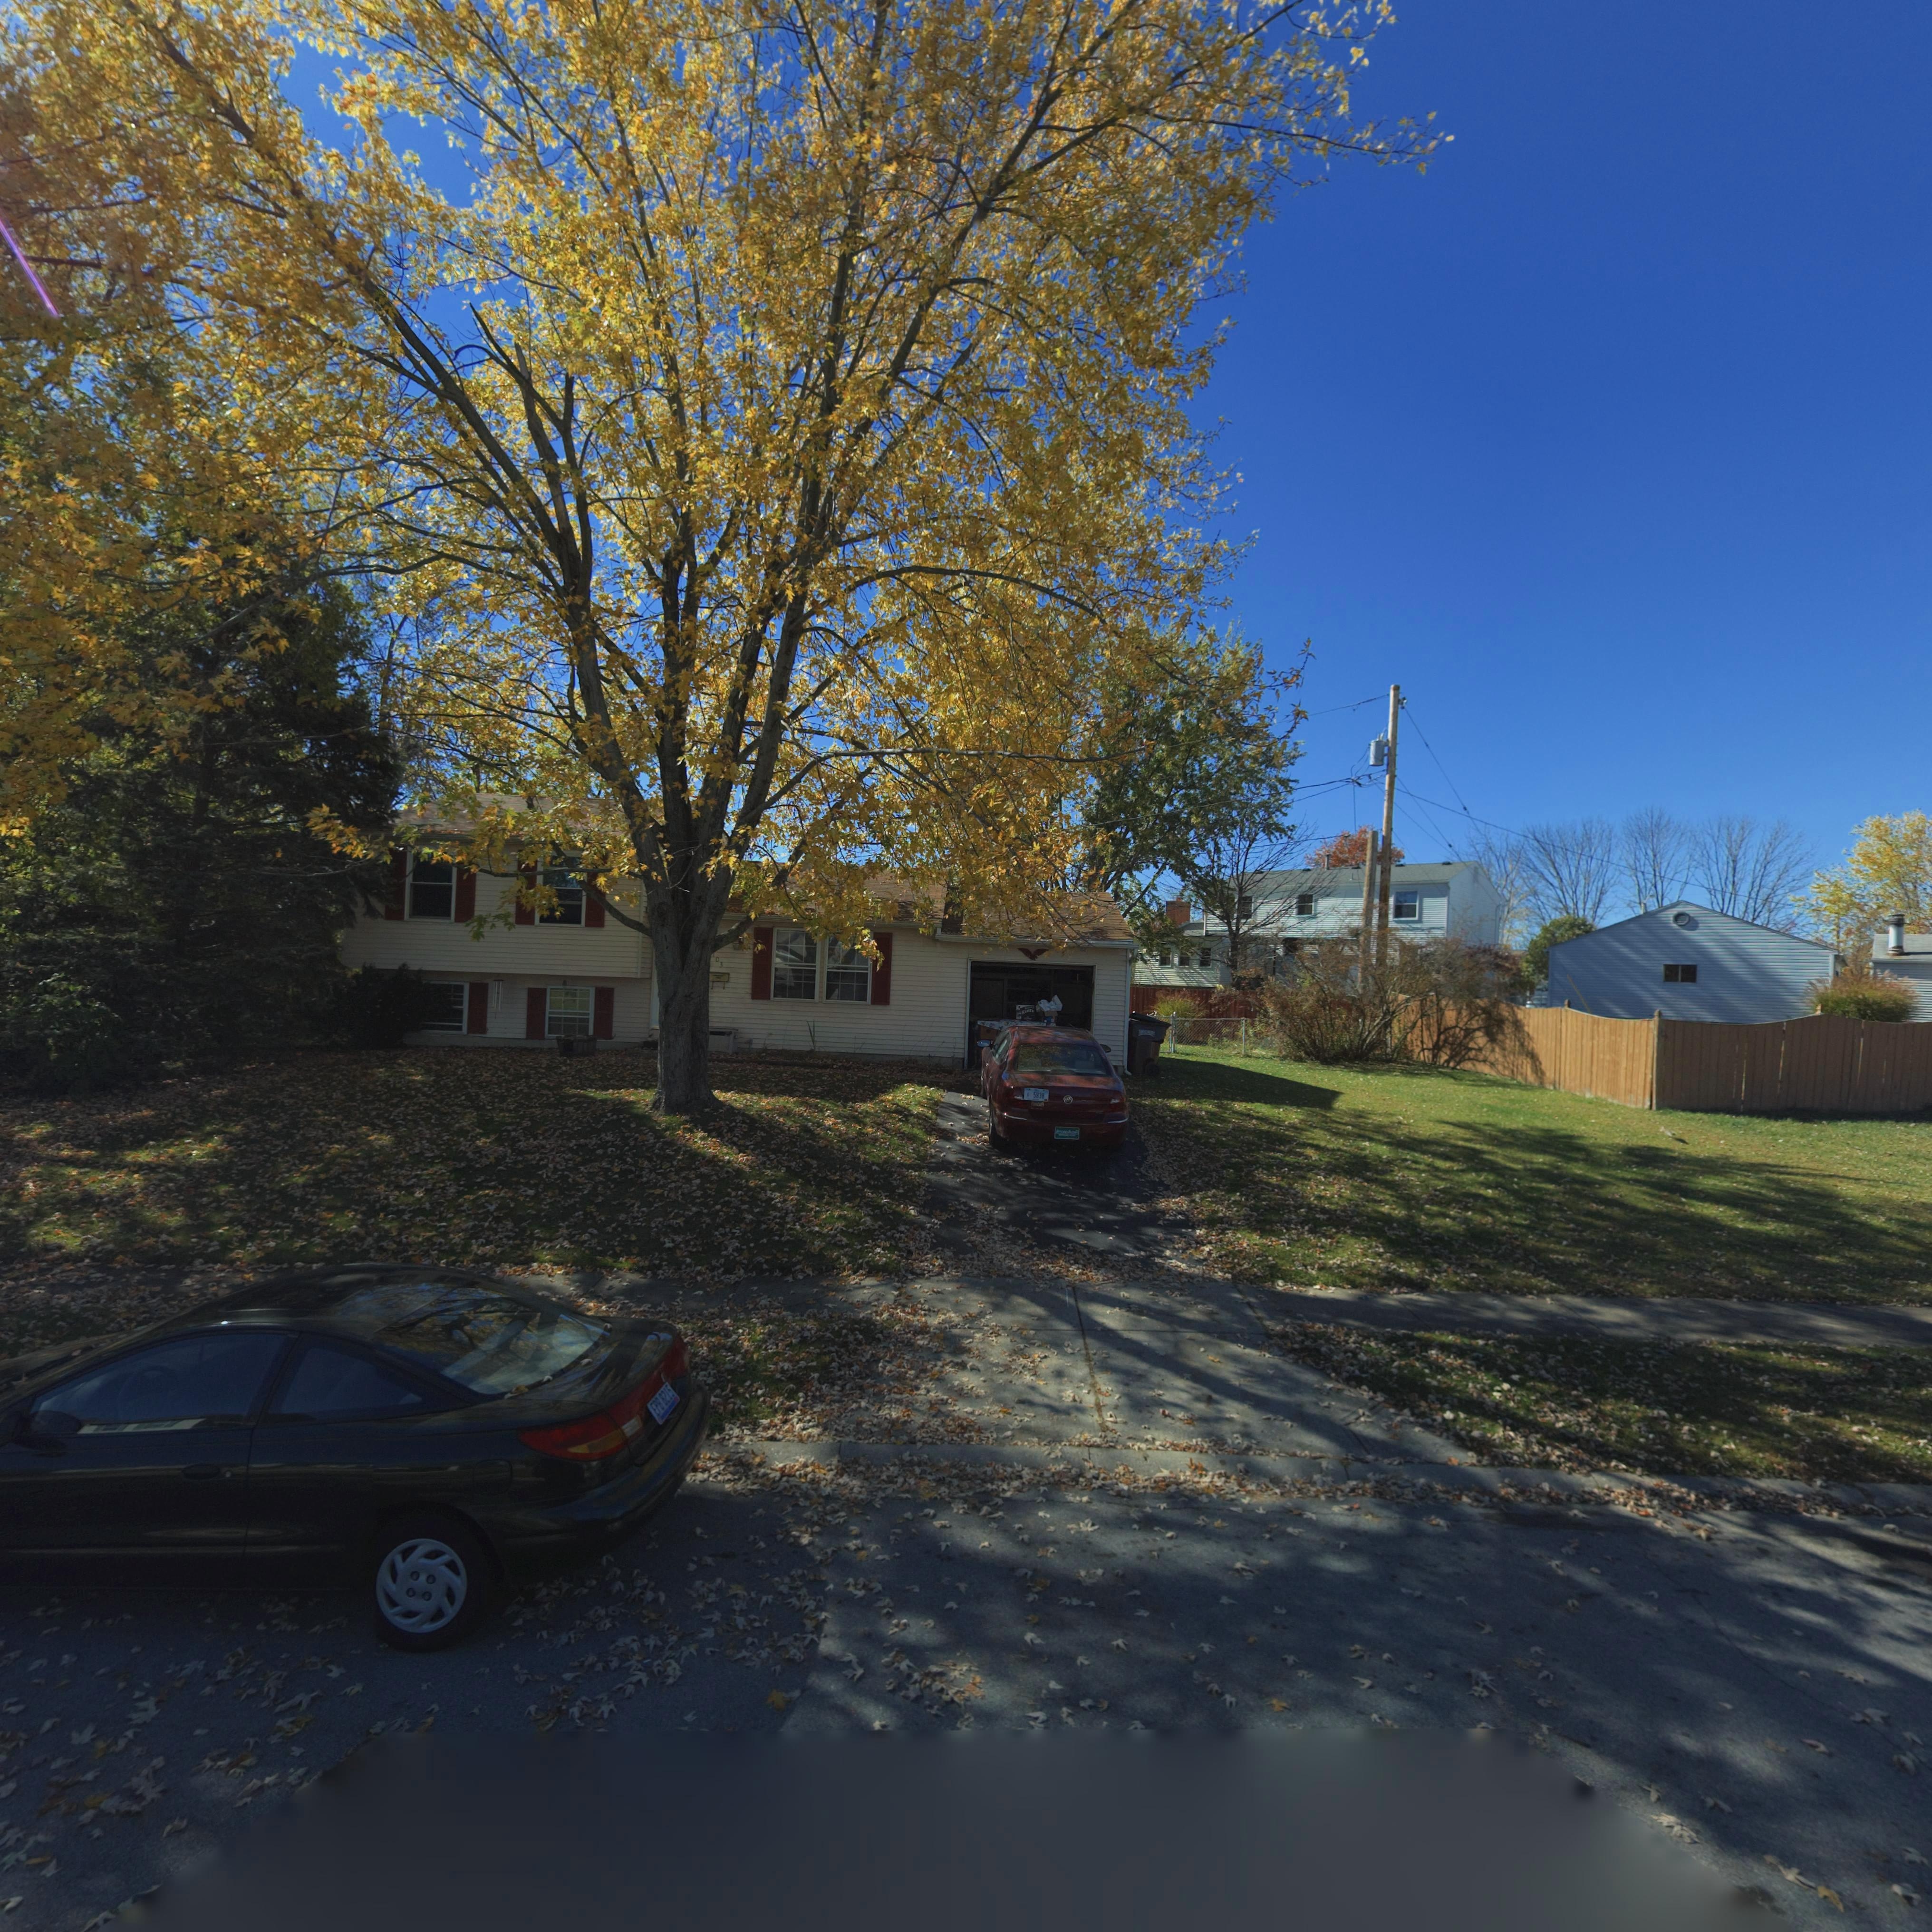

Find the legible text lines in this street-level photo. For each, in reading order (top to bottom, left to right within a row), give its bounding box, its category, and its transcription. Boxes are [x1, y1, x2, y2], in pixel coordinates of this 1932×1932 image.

[712, 951, 724, 968] StreetNumber: 103